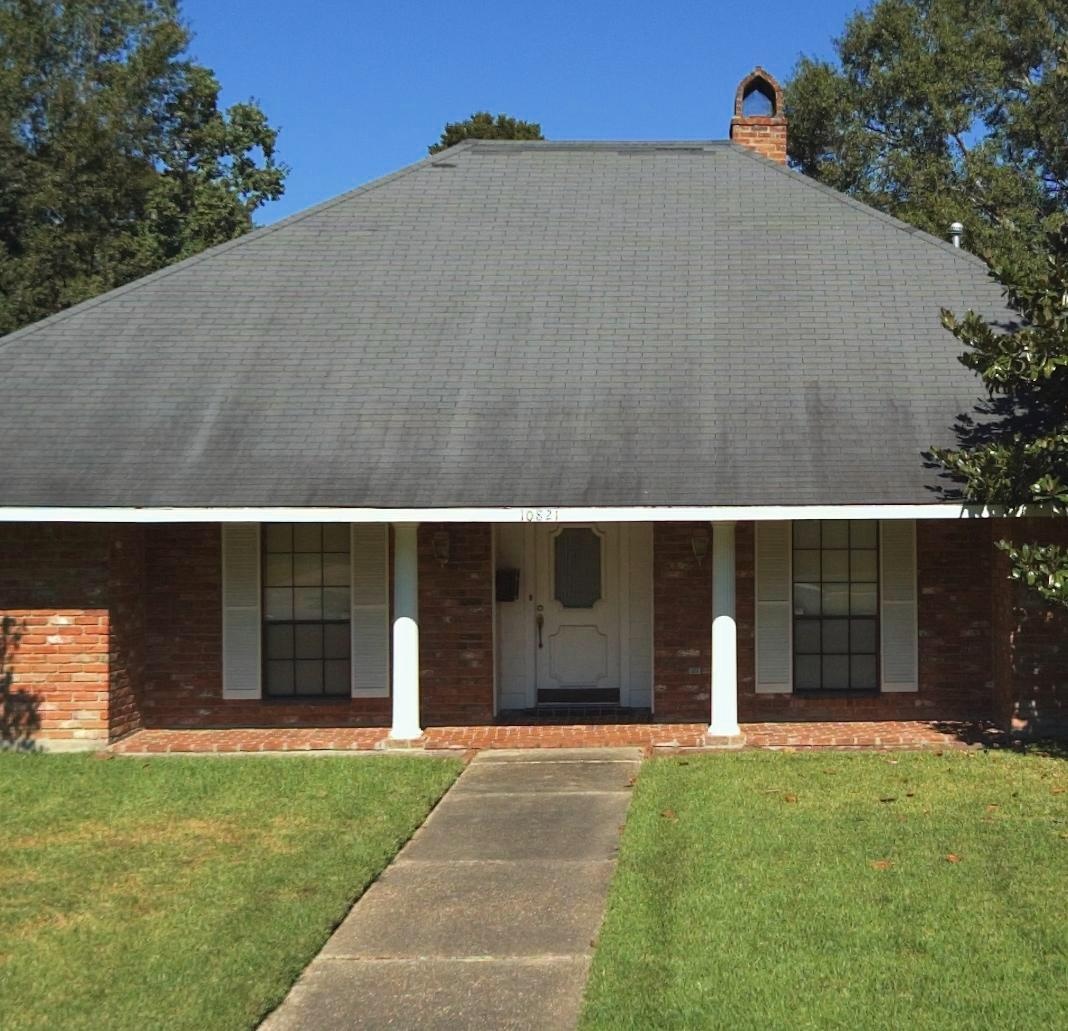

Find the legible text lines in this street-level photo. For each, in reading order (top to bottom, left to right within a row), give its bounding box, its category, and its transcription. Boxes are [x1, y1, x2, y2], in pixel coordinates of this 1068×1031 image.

[519, 507, 560, 523] StreetNumber: 10821